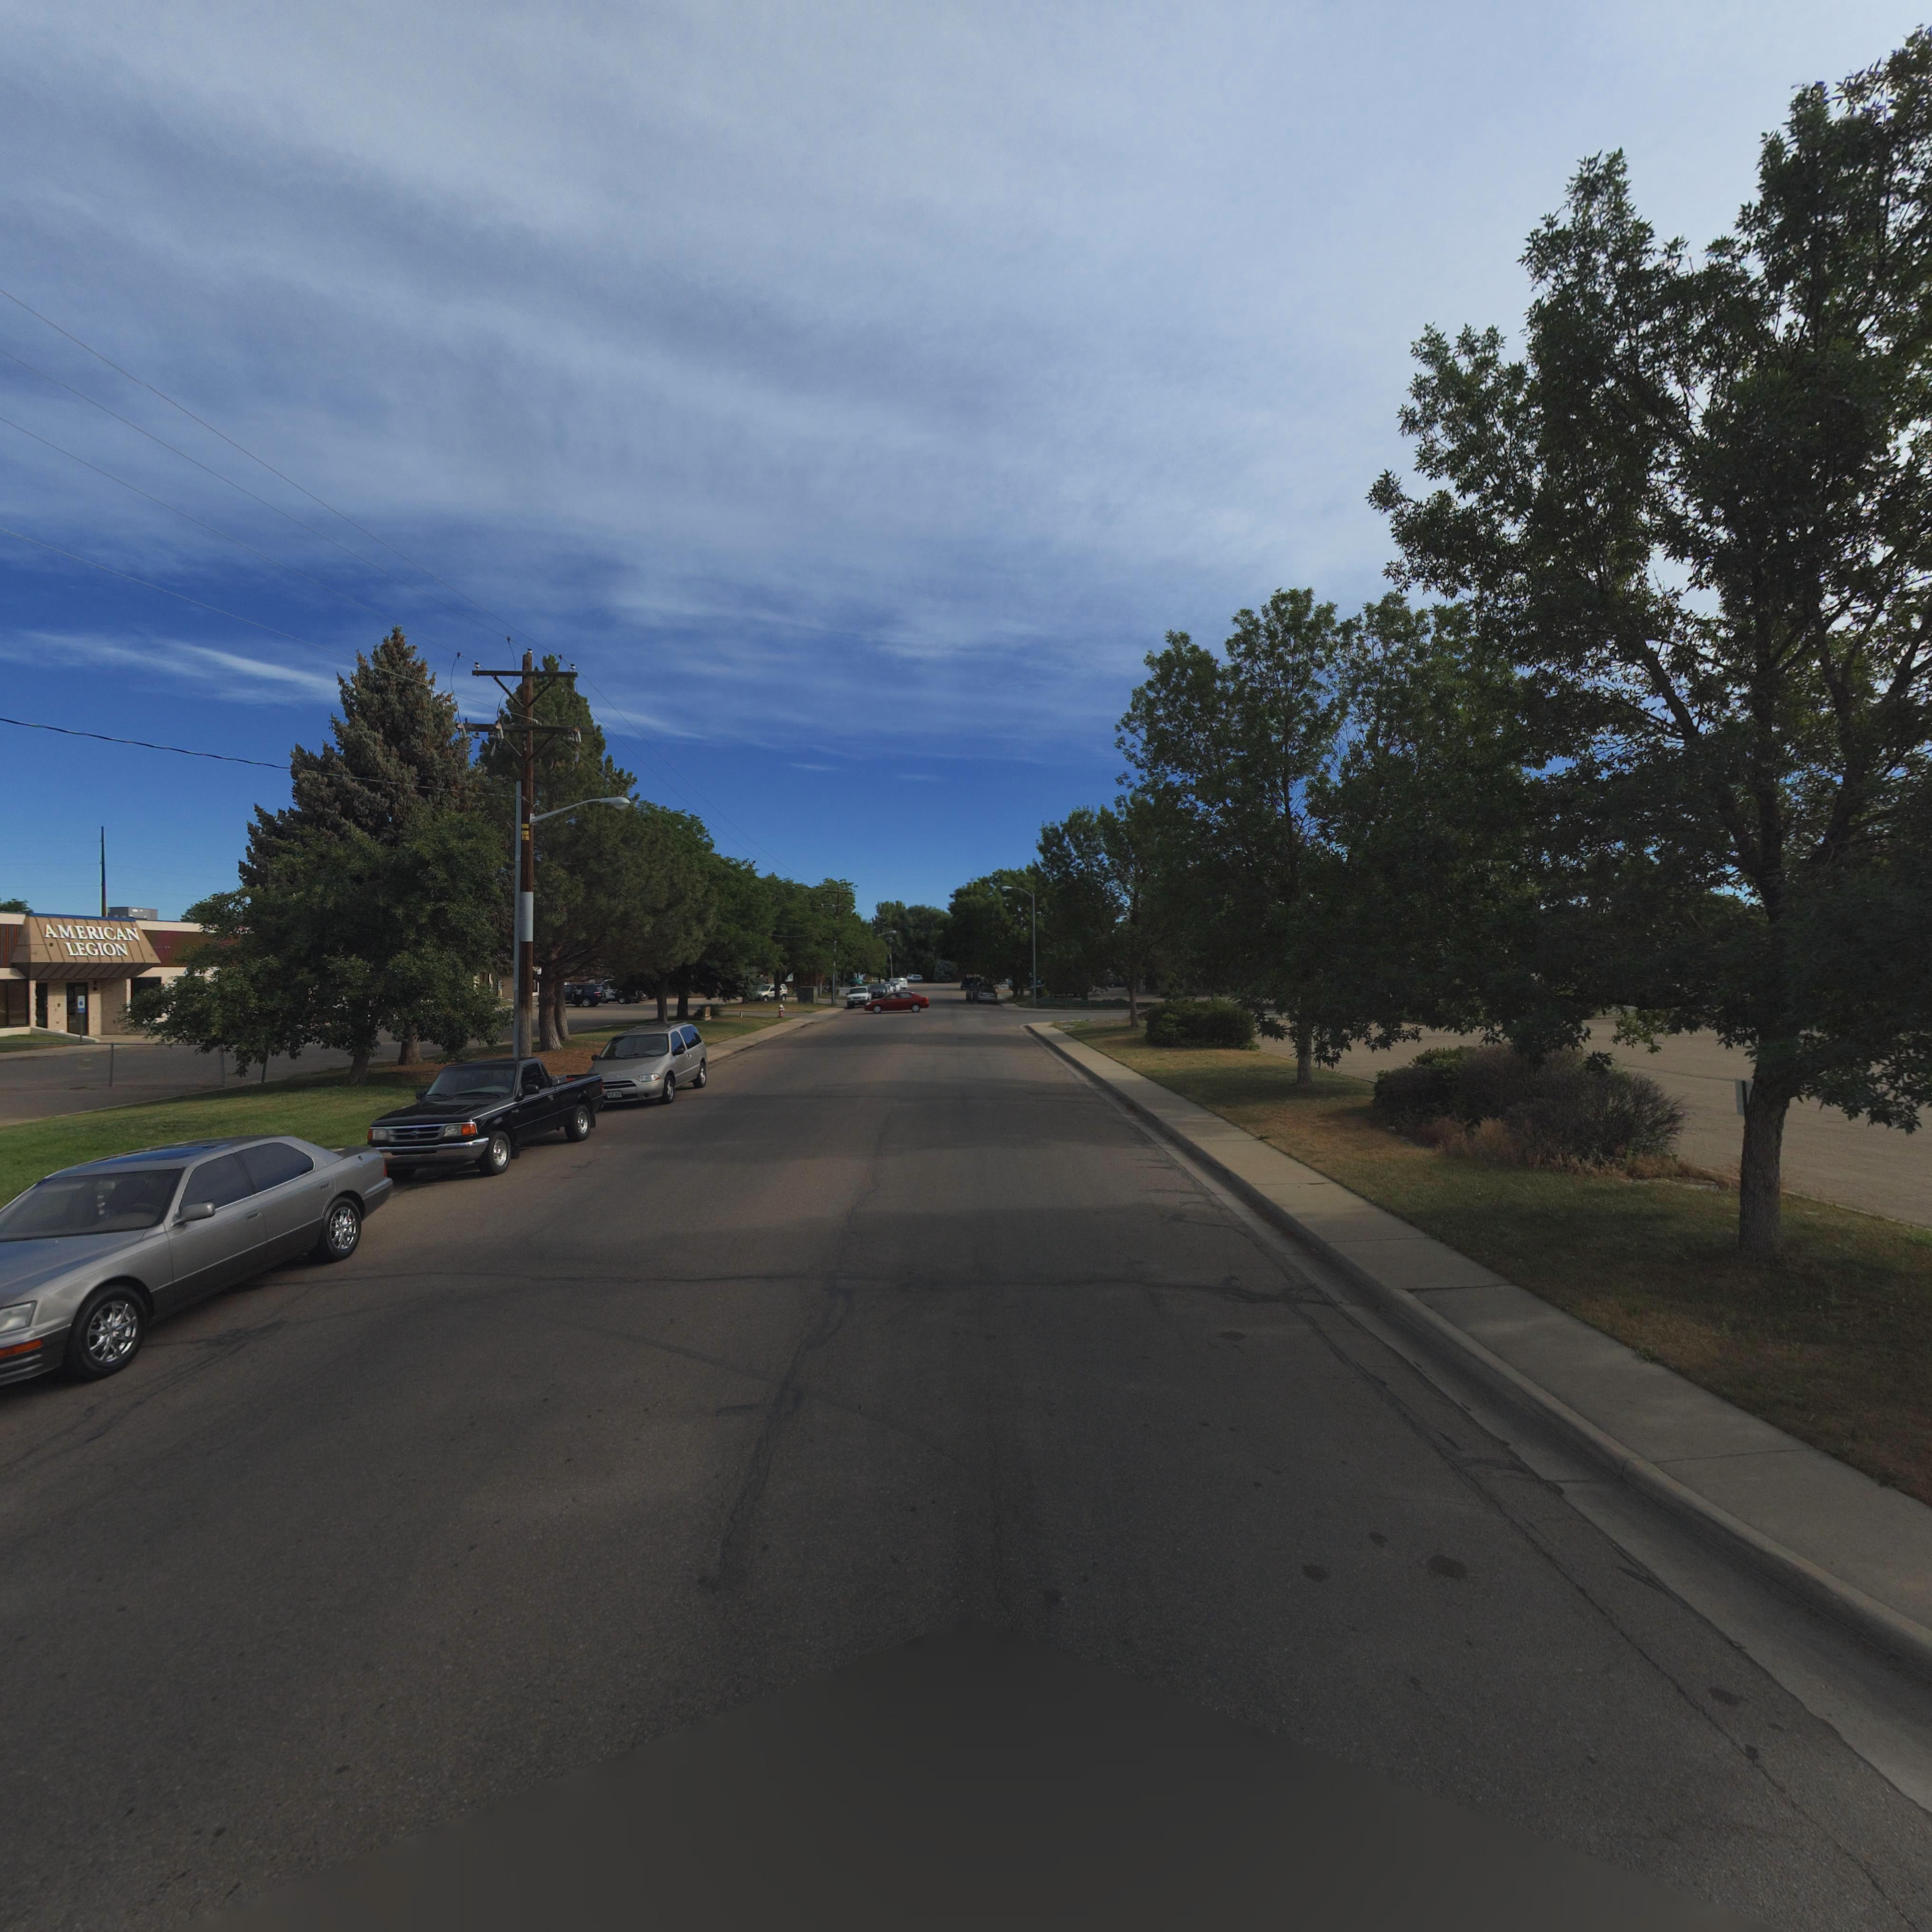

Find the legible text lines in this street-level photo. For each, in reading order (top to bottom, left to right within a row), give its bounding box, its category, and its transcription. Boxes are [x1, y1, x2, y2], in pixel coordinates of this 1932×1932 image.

[43, 924, 142, 941] BusinessName: AMERICAN
[62, 941, 130, 956] BusinessName: LEGION